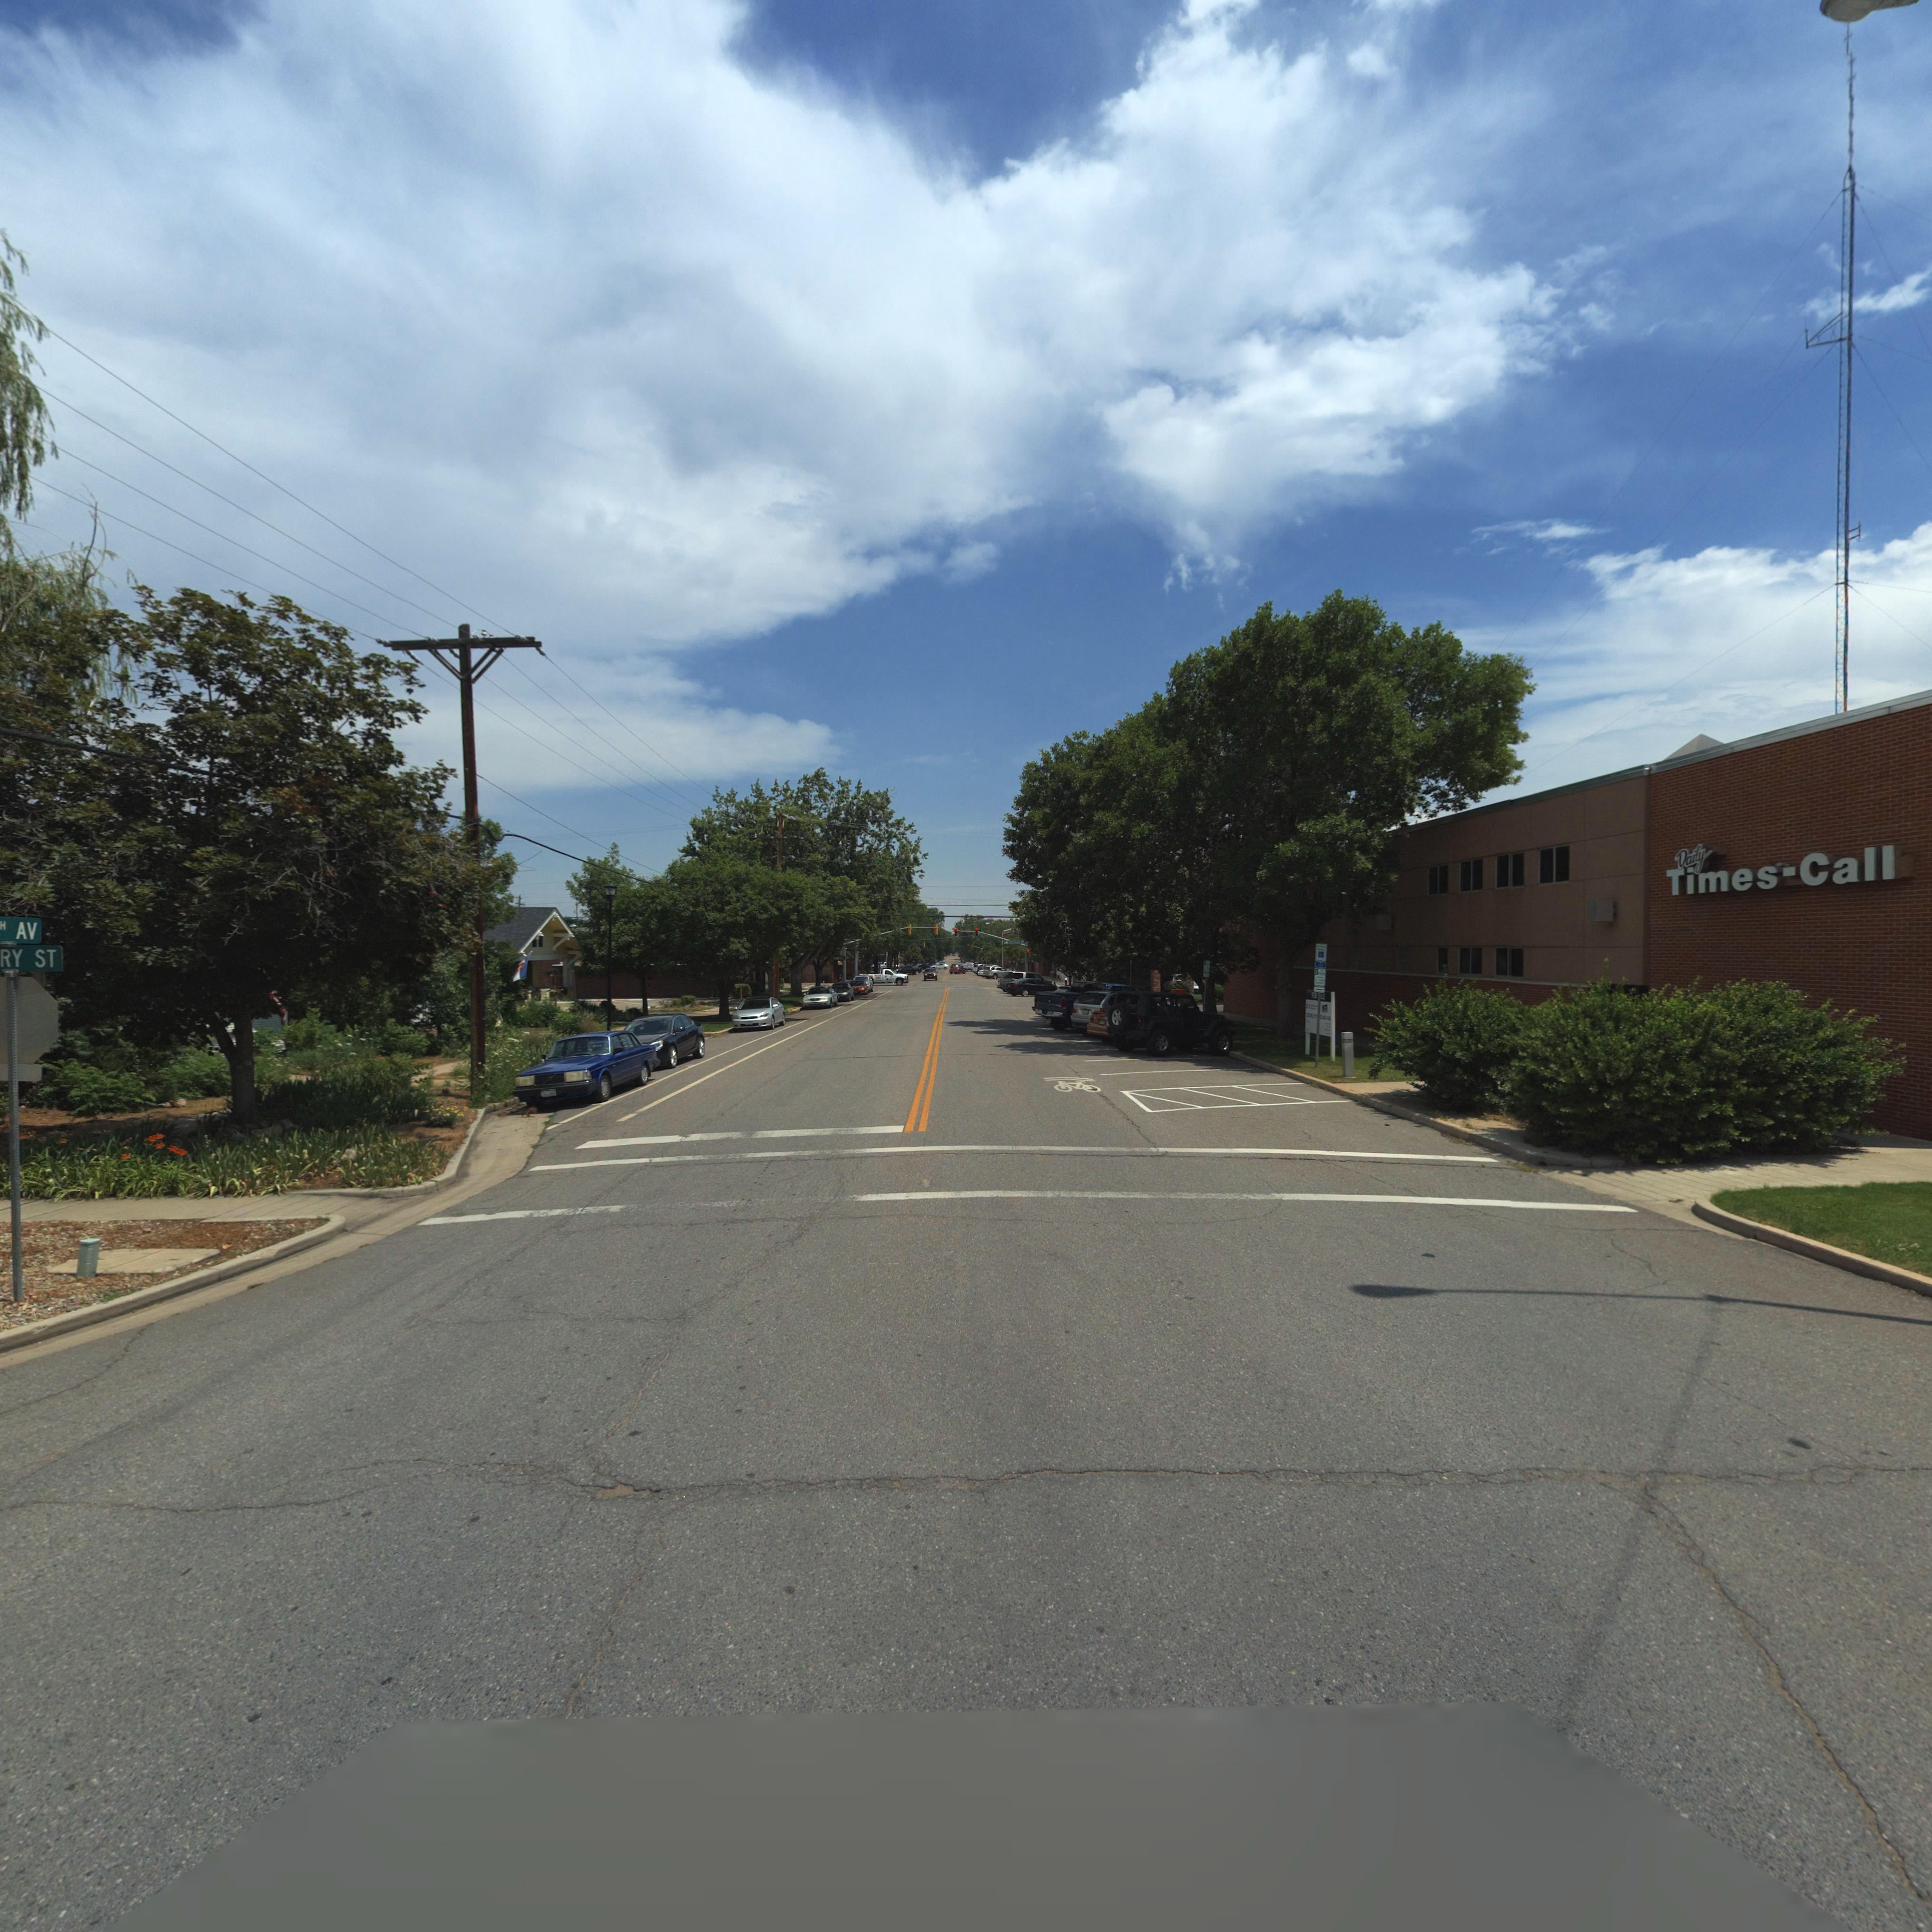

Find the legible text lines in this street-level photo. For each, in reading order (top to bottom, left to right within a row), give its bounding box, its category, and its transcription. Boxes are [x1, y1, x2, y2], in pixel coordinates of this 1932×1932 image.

[1675, 844, 1715, 873] BusinessName: Daily
[1665, 843, 1895, 896] BusinessName: Times * Call
[0, 921, 6, 930] StreetName: H
[15, 921, 38, 940] StreetName: AV
[0, 948, 57, 968] StreetName: RY ST